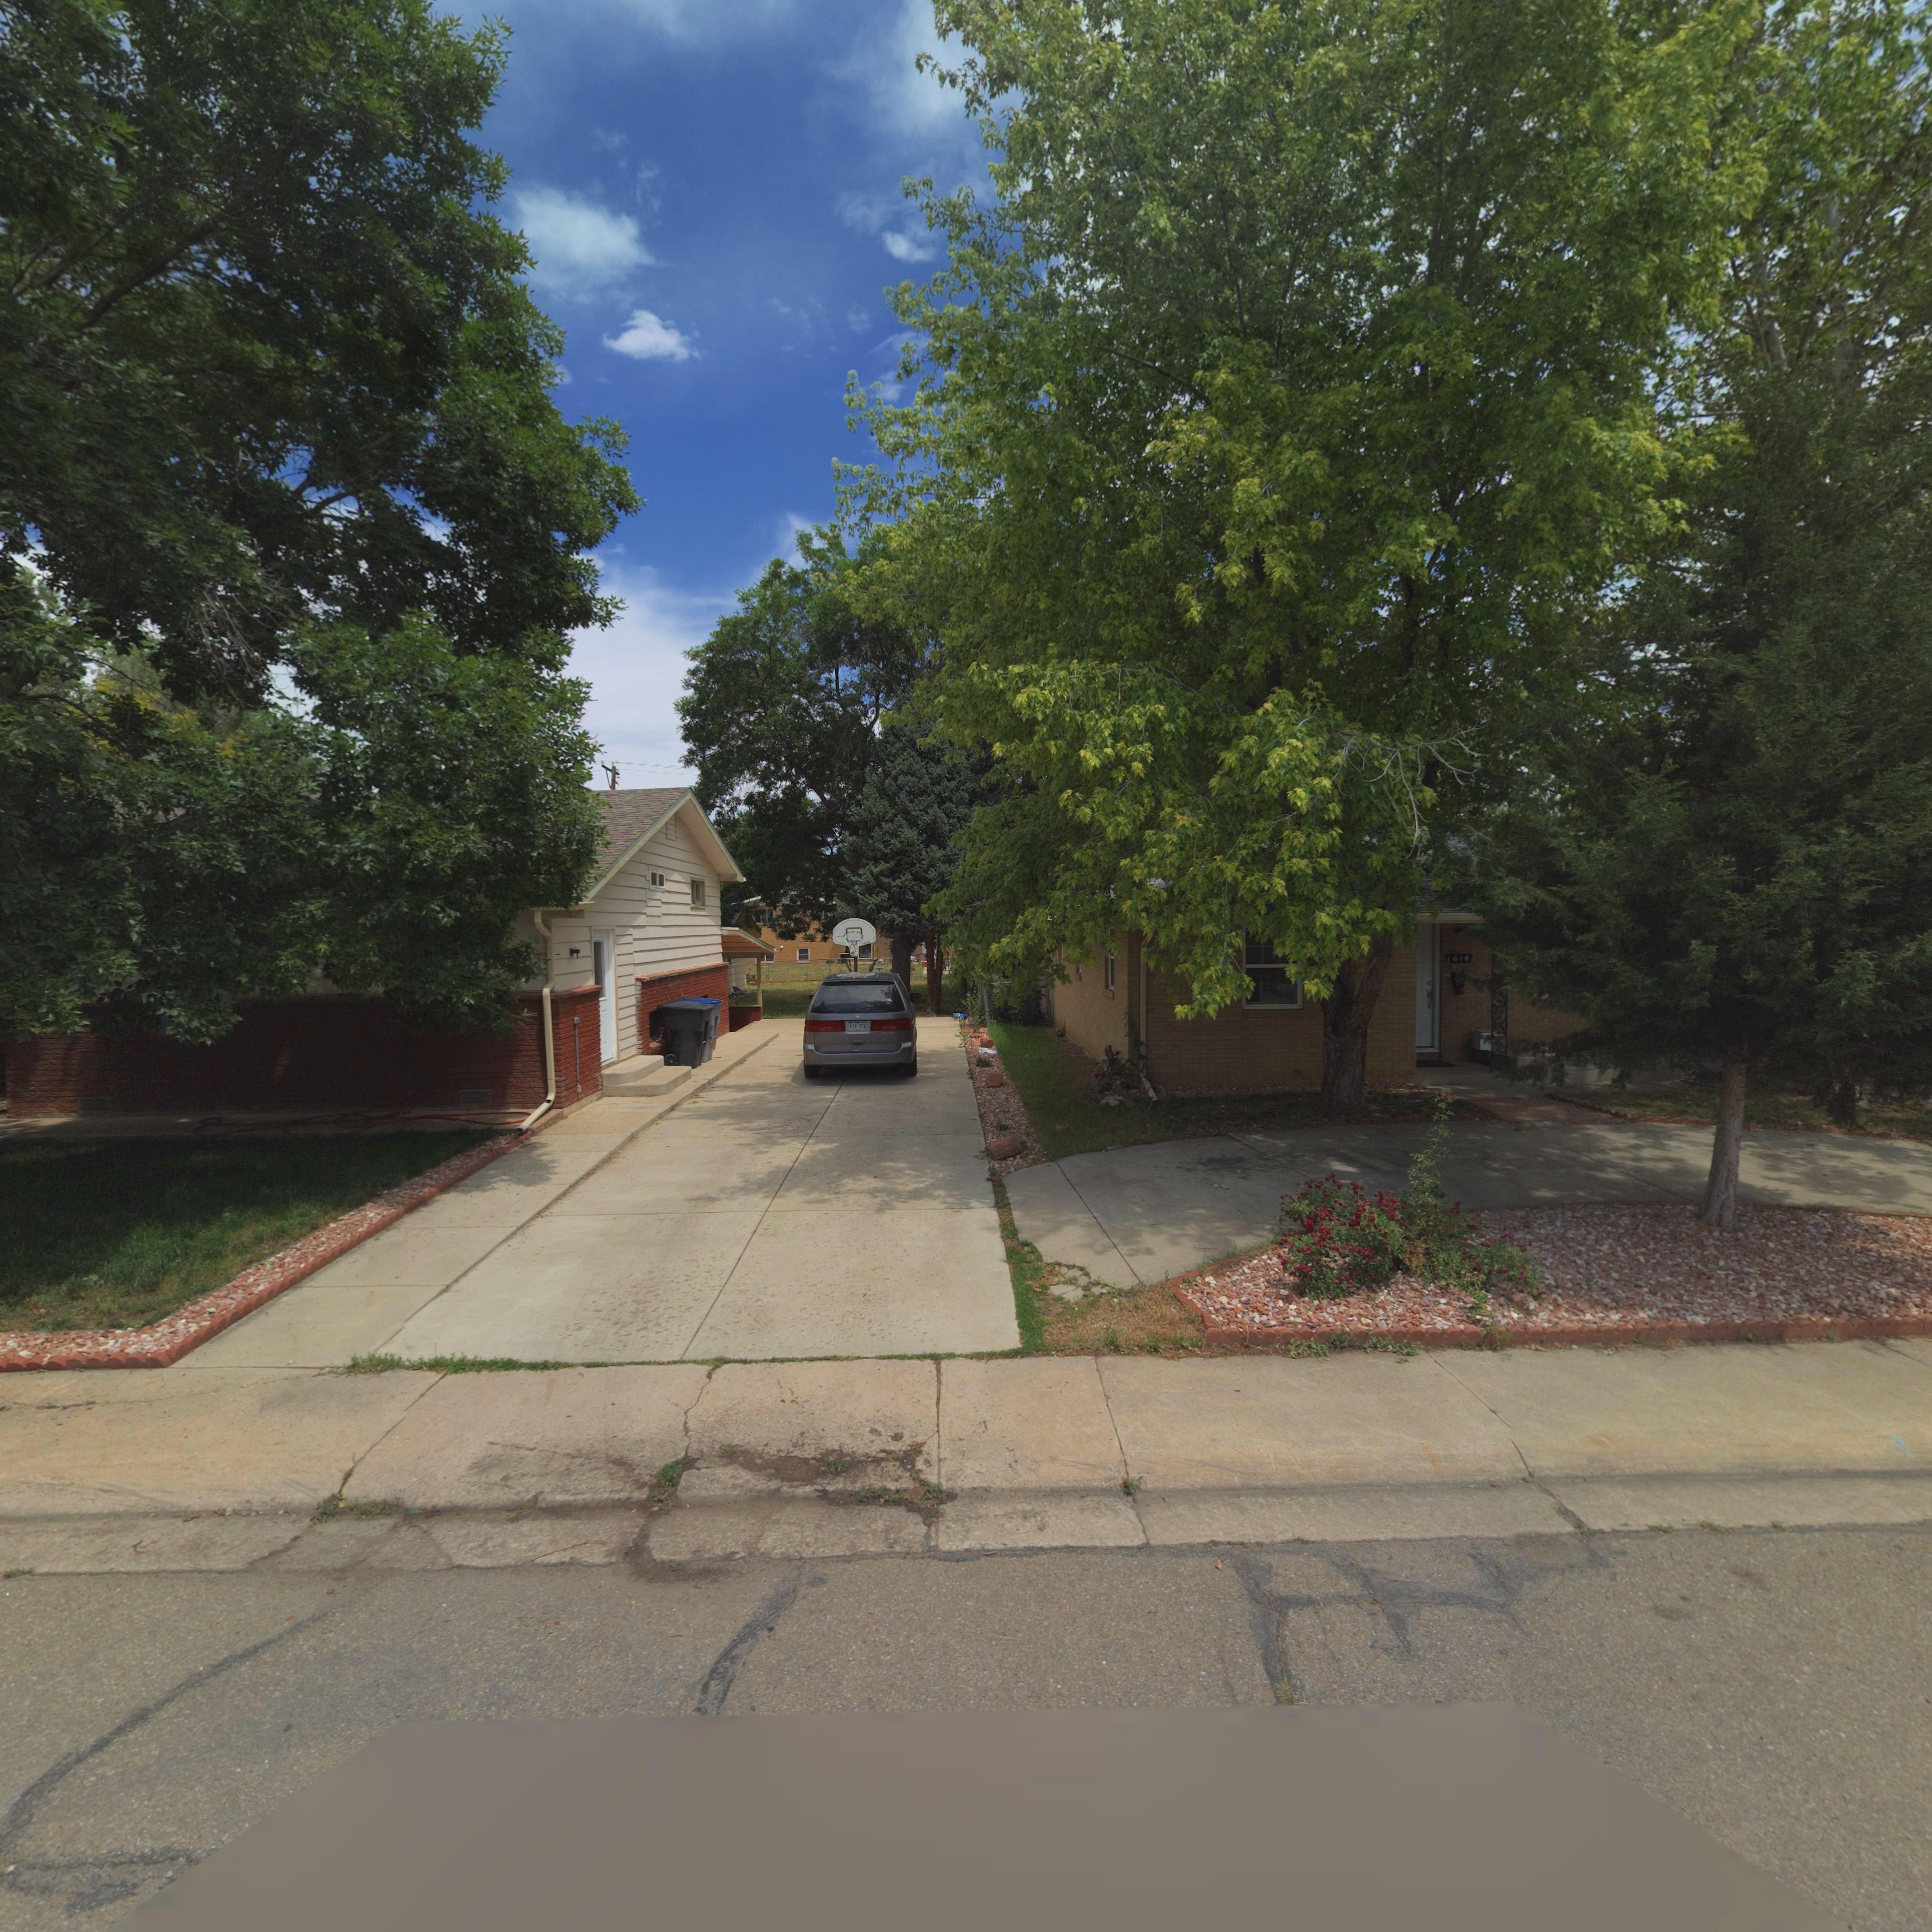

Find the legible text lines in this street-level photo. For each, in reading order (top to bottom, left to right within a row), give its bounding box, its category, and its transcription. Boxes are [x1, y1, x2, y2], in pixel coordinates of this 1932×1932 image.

[1447, 954, 1469, 962] StreetNumber: 1614